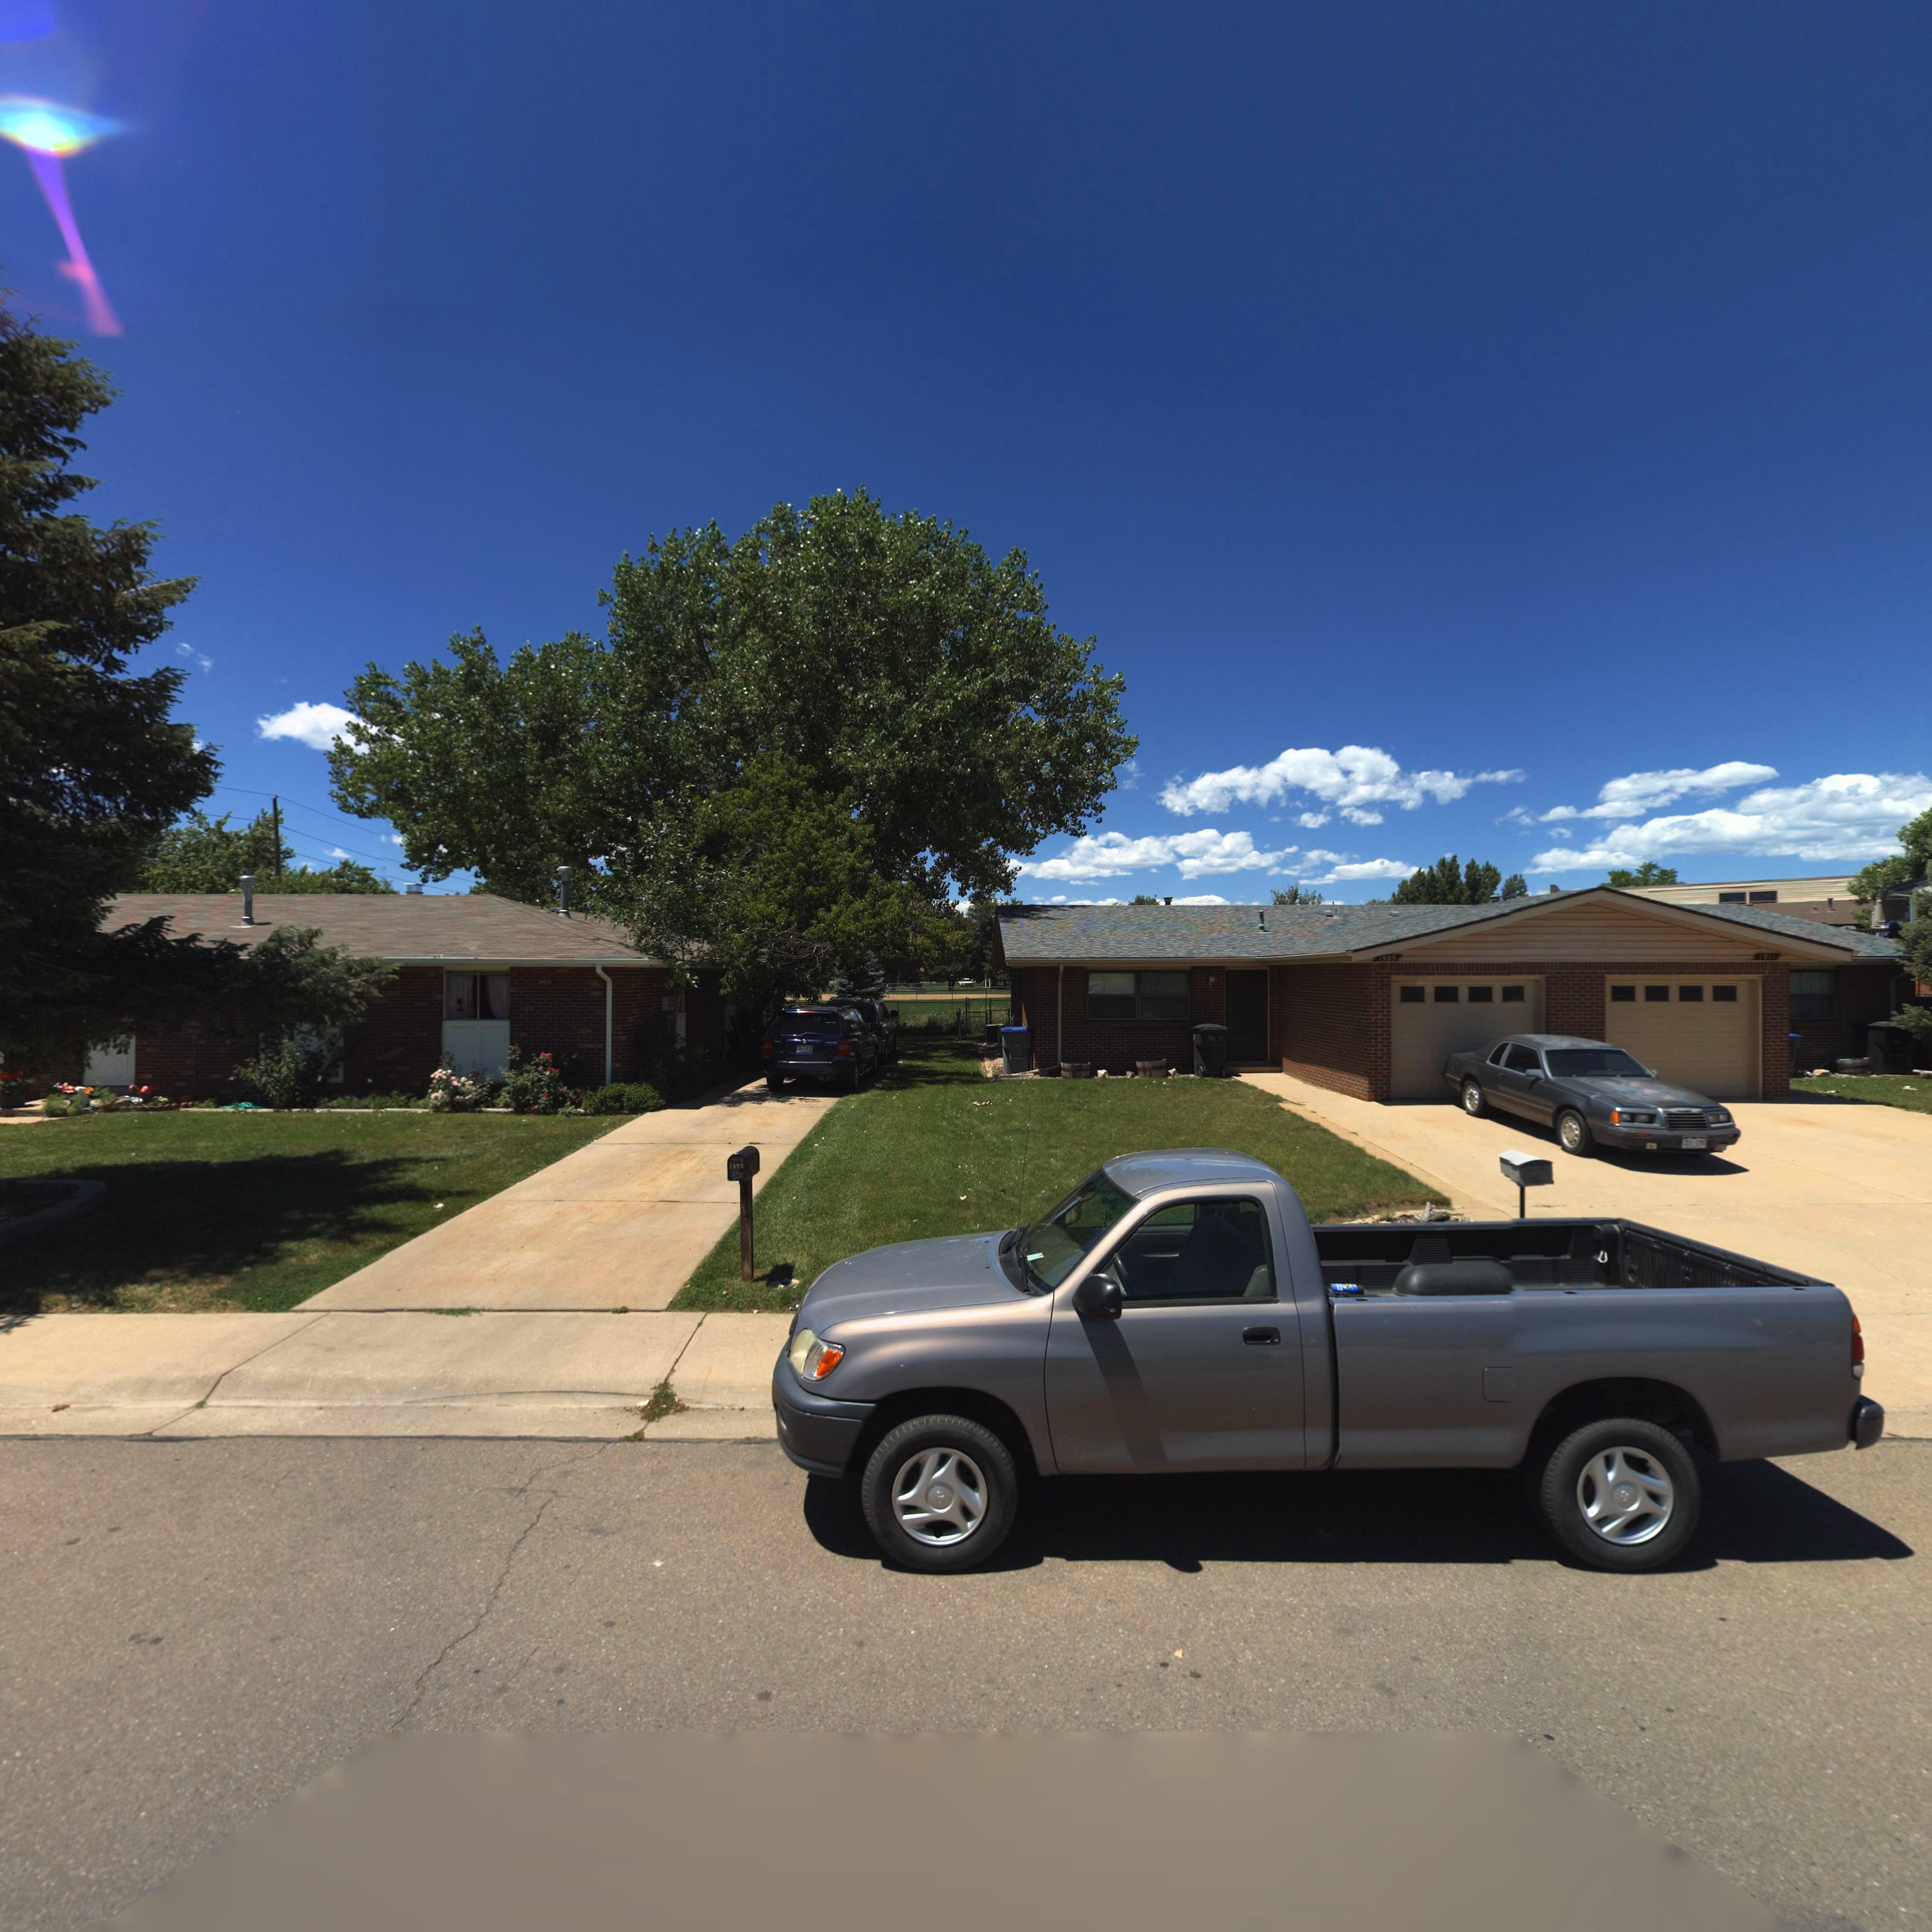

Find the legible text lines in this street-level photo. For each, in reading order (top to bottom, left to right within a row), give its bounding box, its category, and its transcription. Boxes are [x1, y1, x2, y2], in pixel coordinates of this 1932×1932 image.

[1379, 955, 1396, 961] StreetNumber: 1909
[1758, 953, 1776, 959] StreetNumber: 1911
[729, 1163, 744, 1169] StreetNumber: 1903